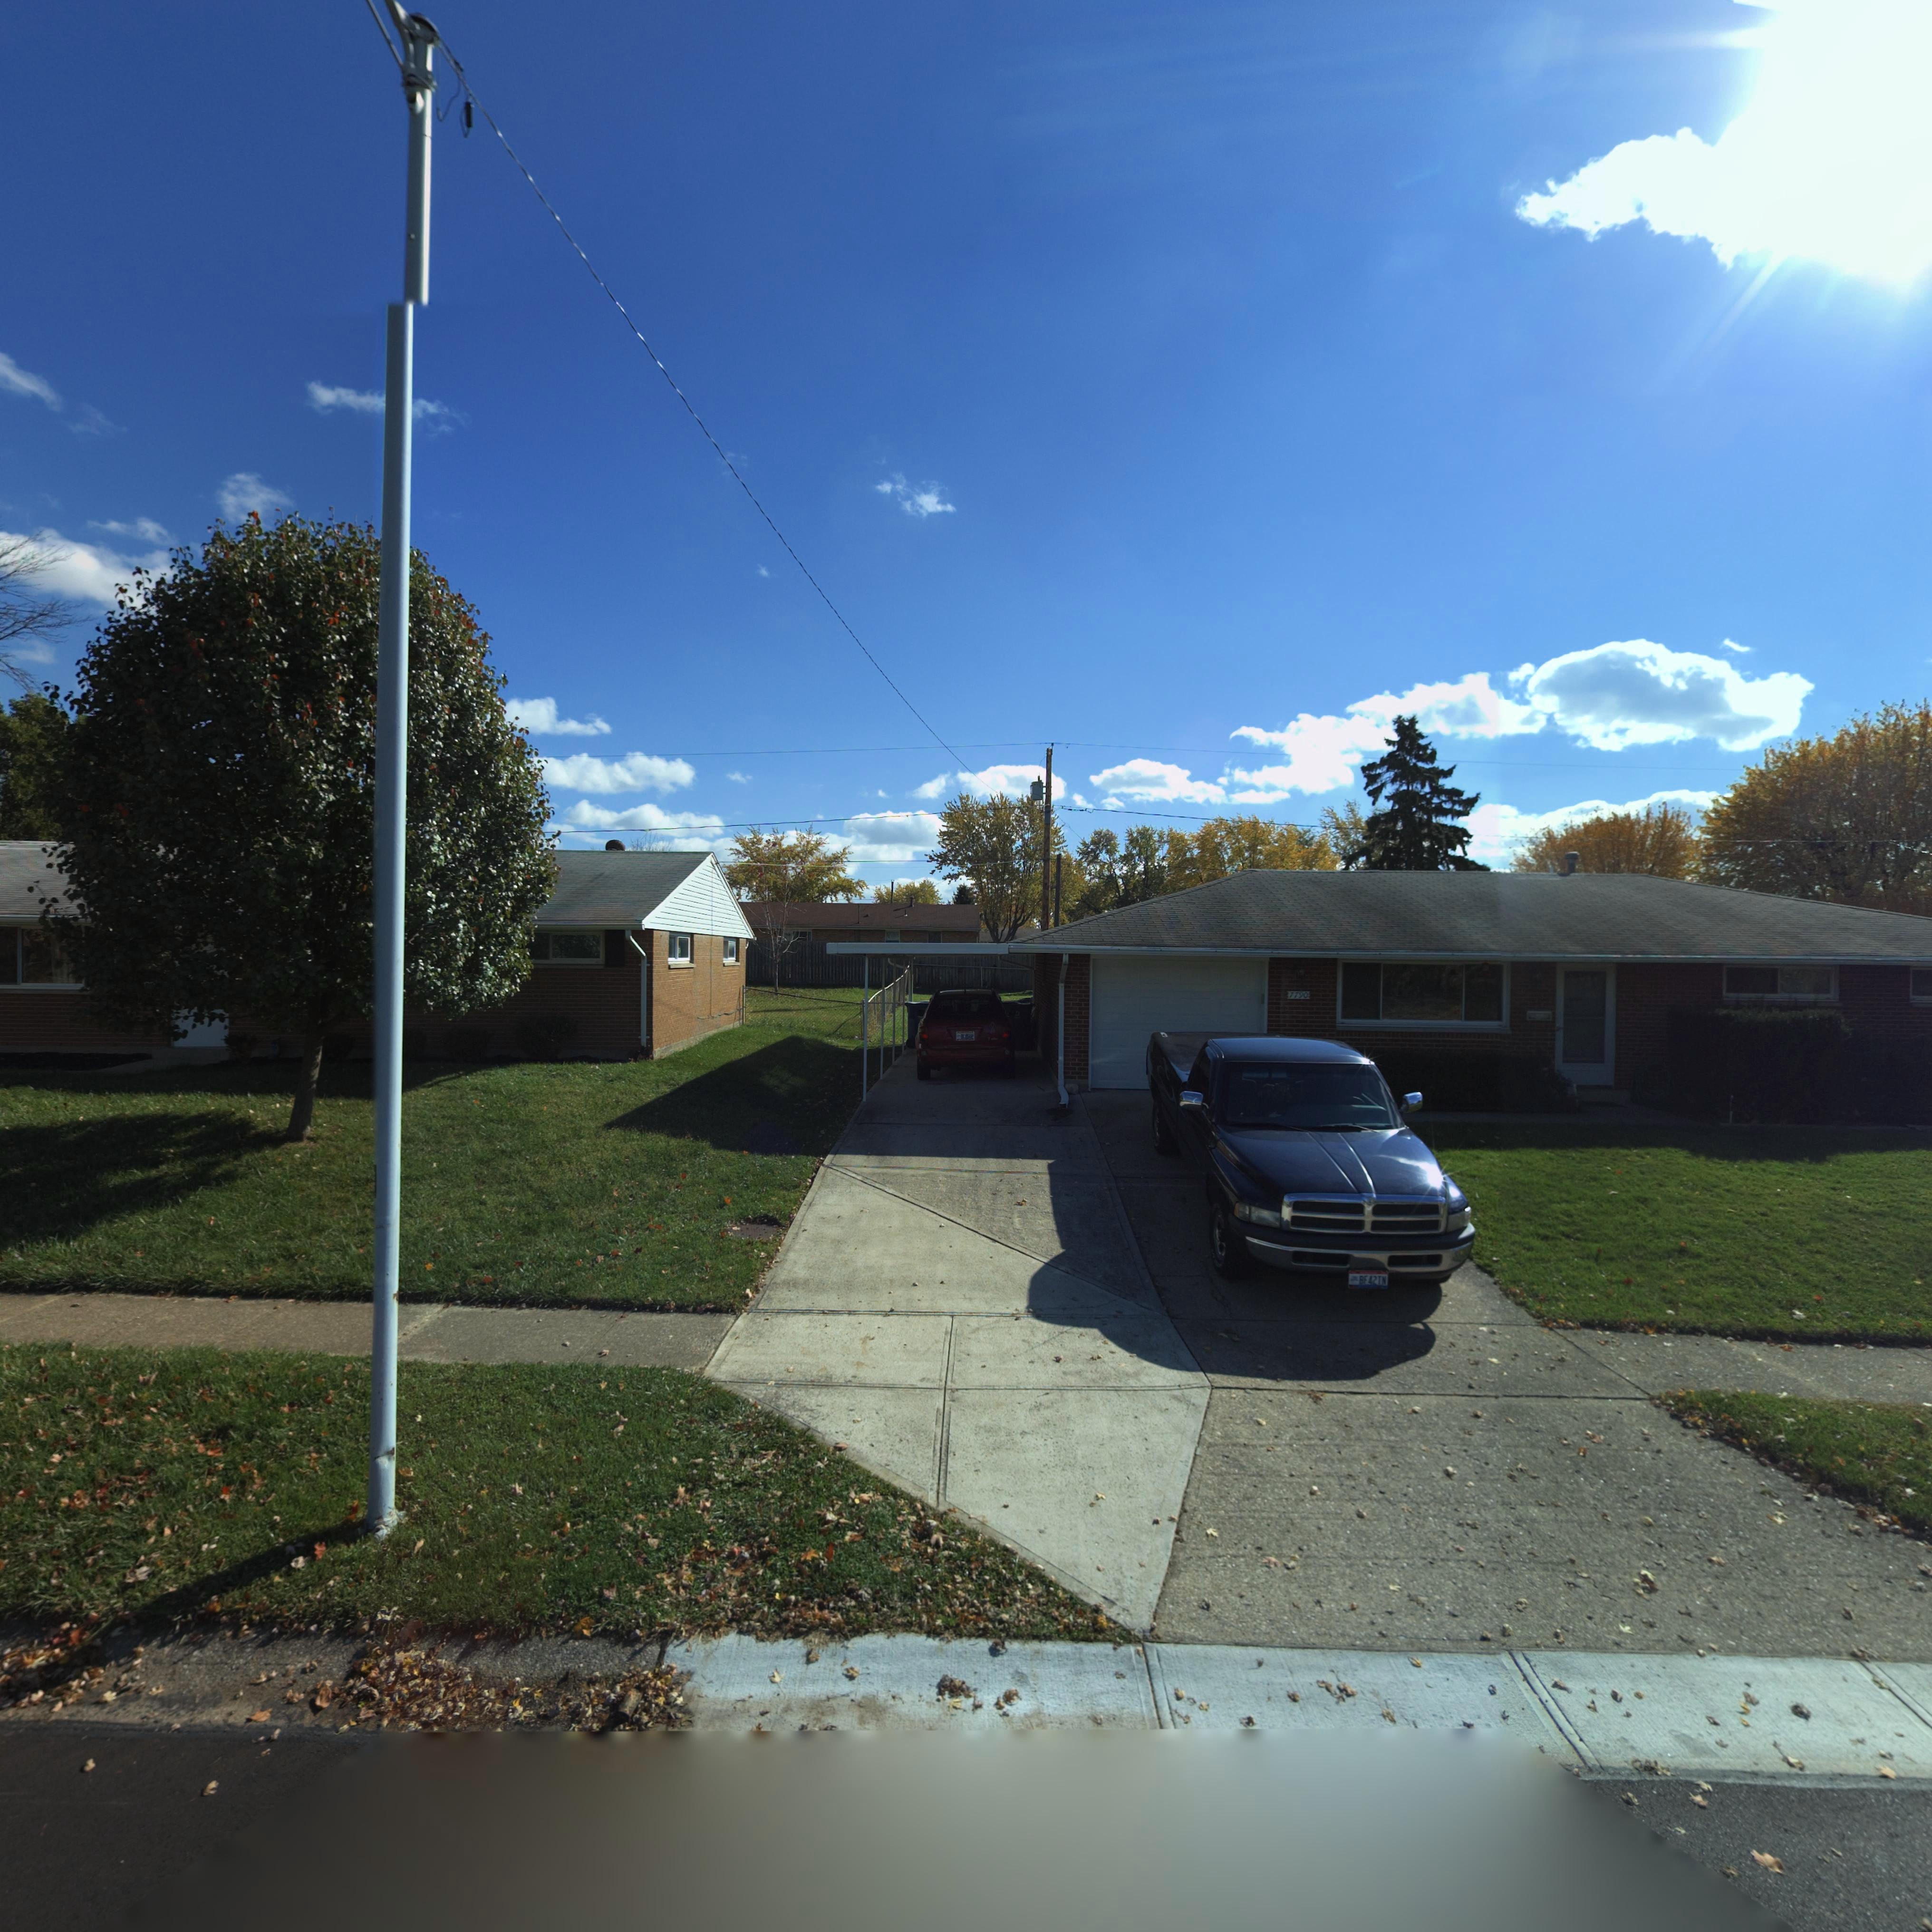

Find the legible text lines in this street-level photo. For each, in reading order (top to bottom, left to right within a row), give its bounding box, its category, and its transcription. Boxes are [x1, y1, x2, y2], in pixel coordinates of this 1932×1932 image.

[1289, 991, 1309, 998] StreetNumber: 7790